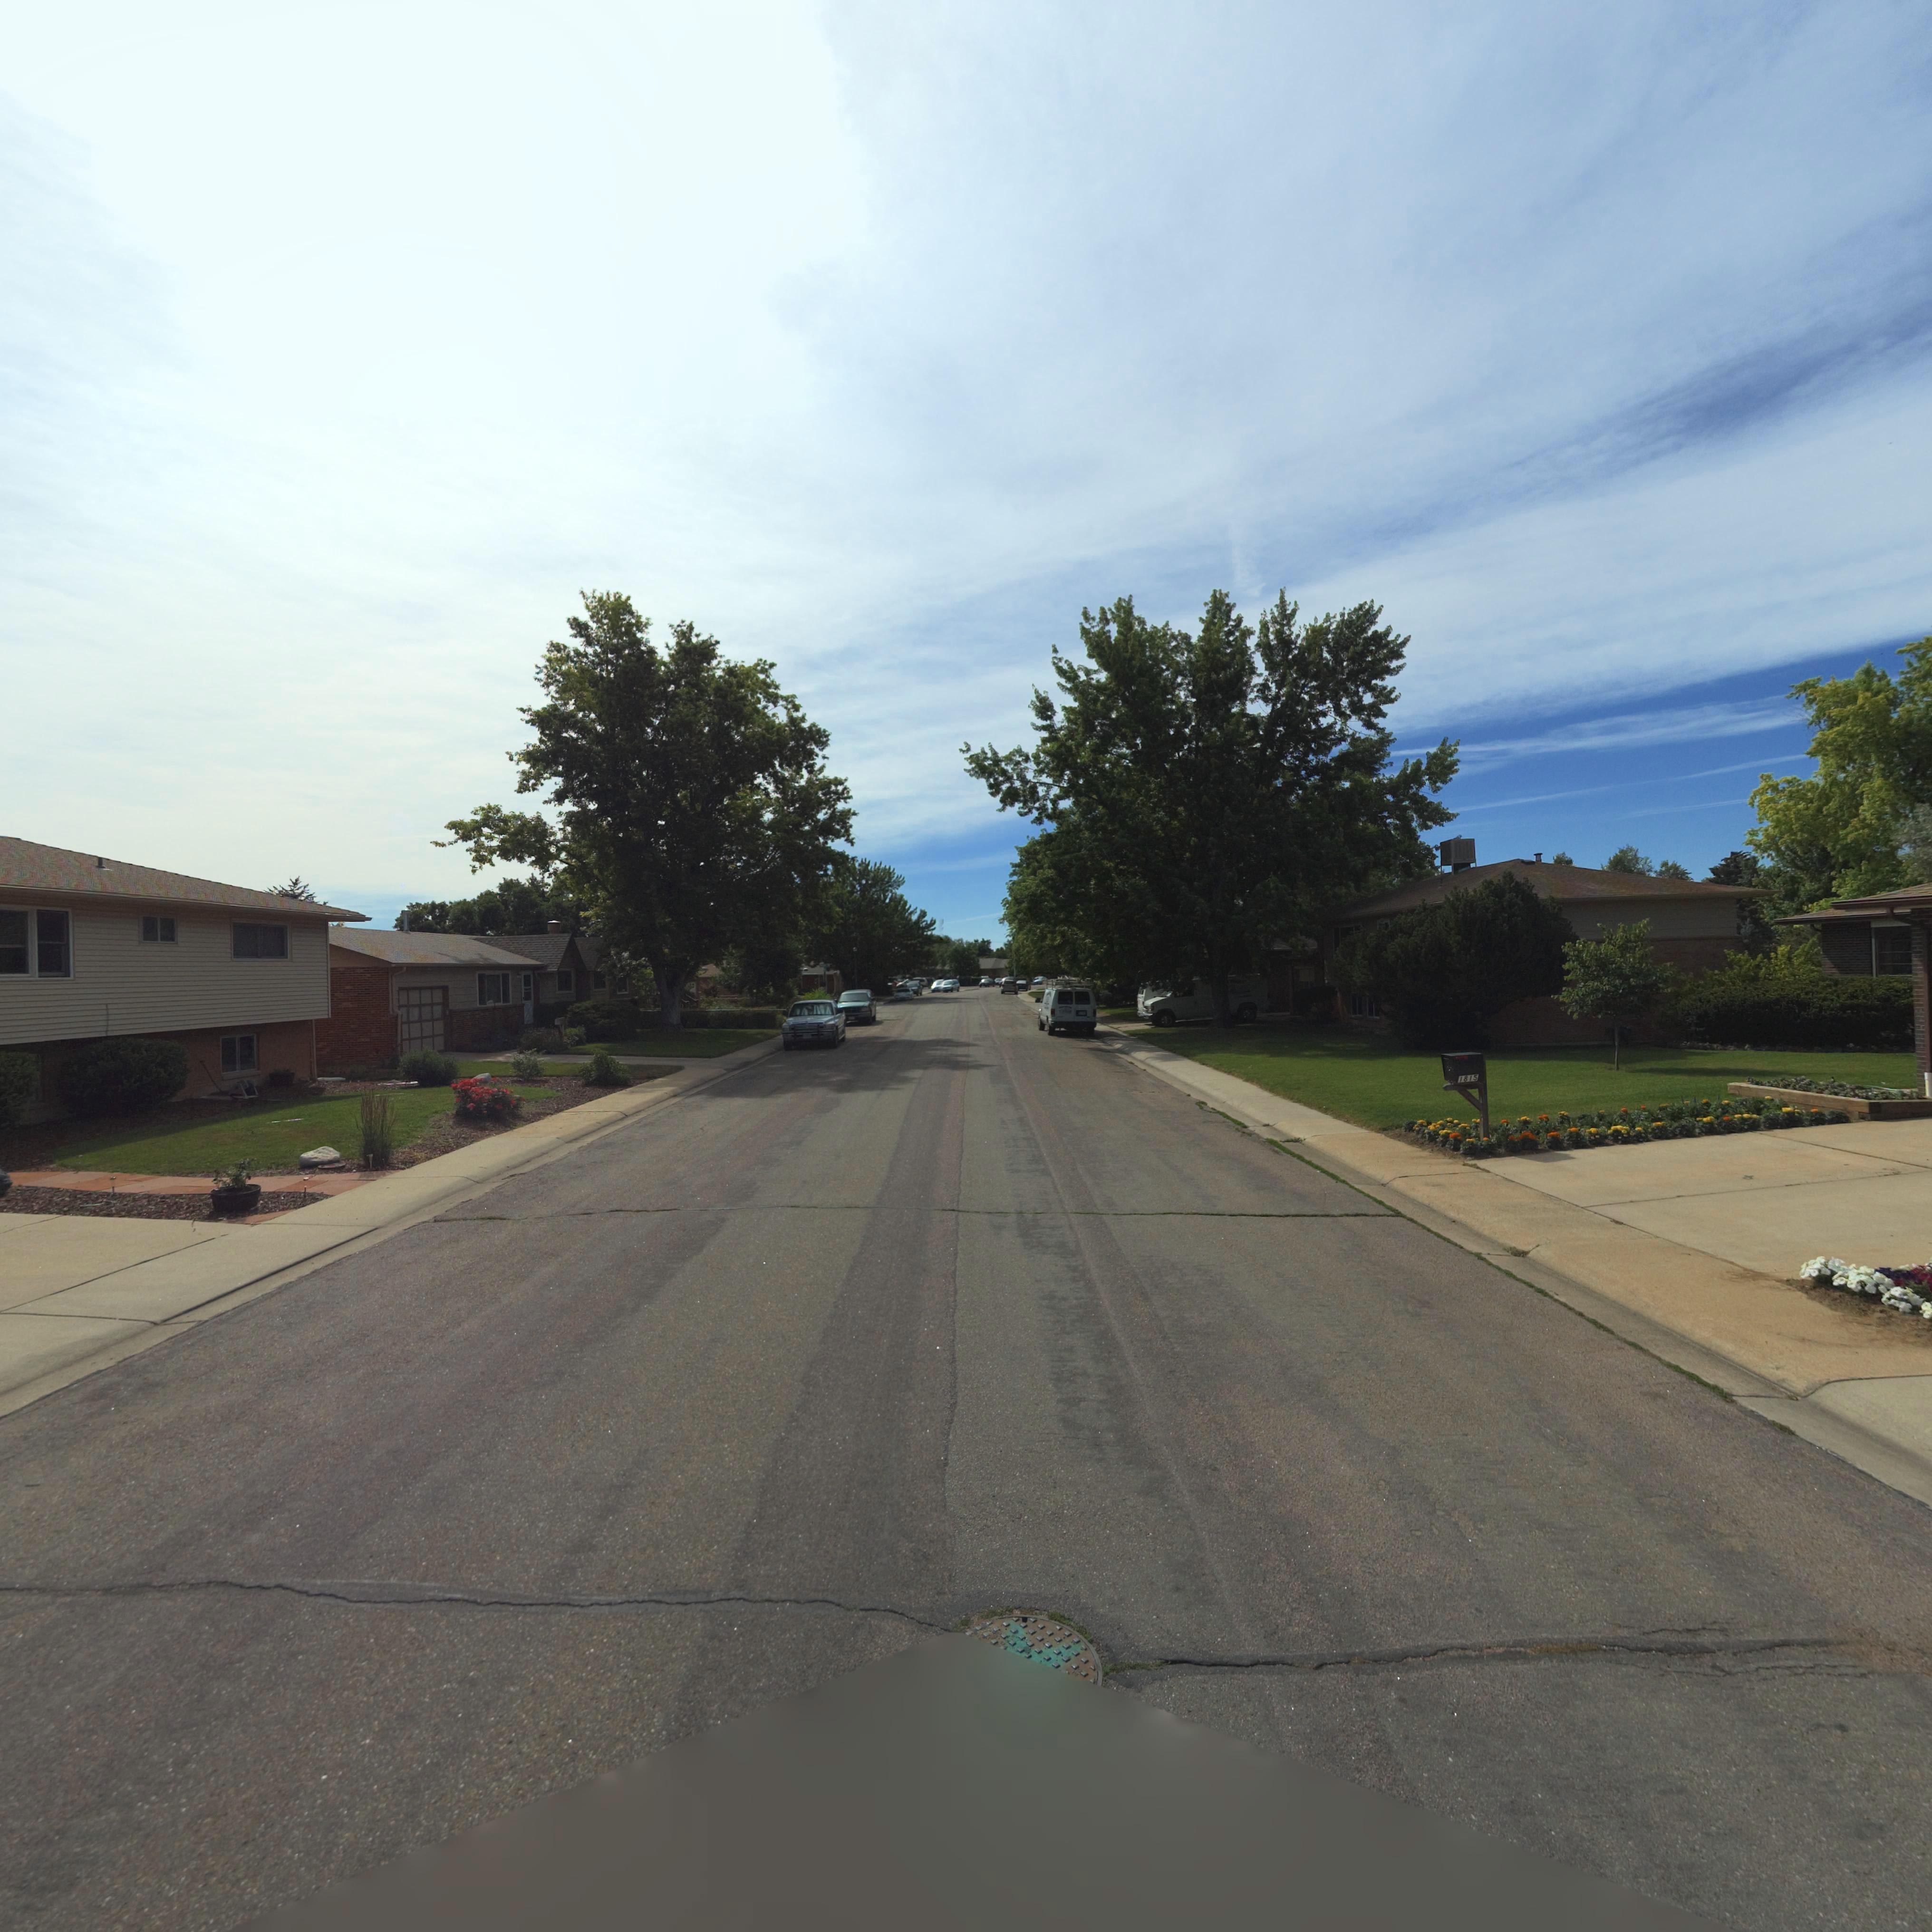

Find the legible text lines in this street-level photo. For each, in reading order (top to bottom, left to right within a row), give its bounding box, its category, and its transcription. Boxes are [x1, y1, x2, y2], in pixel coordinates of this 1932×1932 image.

[1459, 1074, 1478, 1082] StreetNumber: 1815